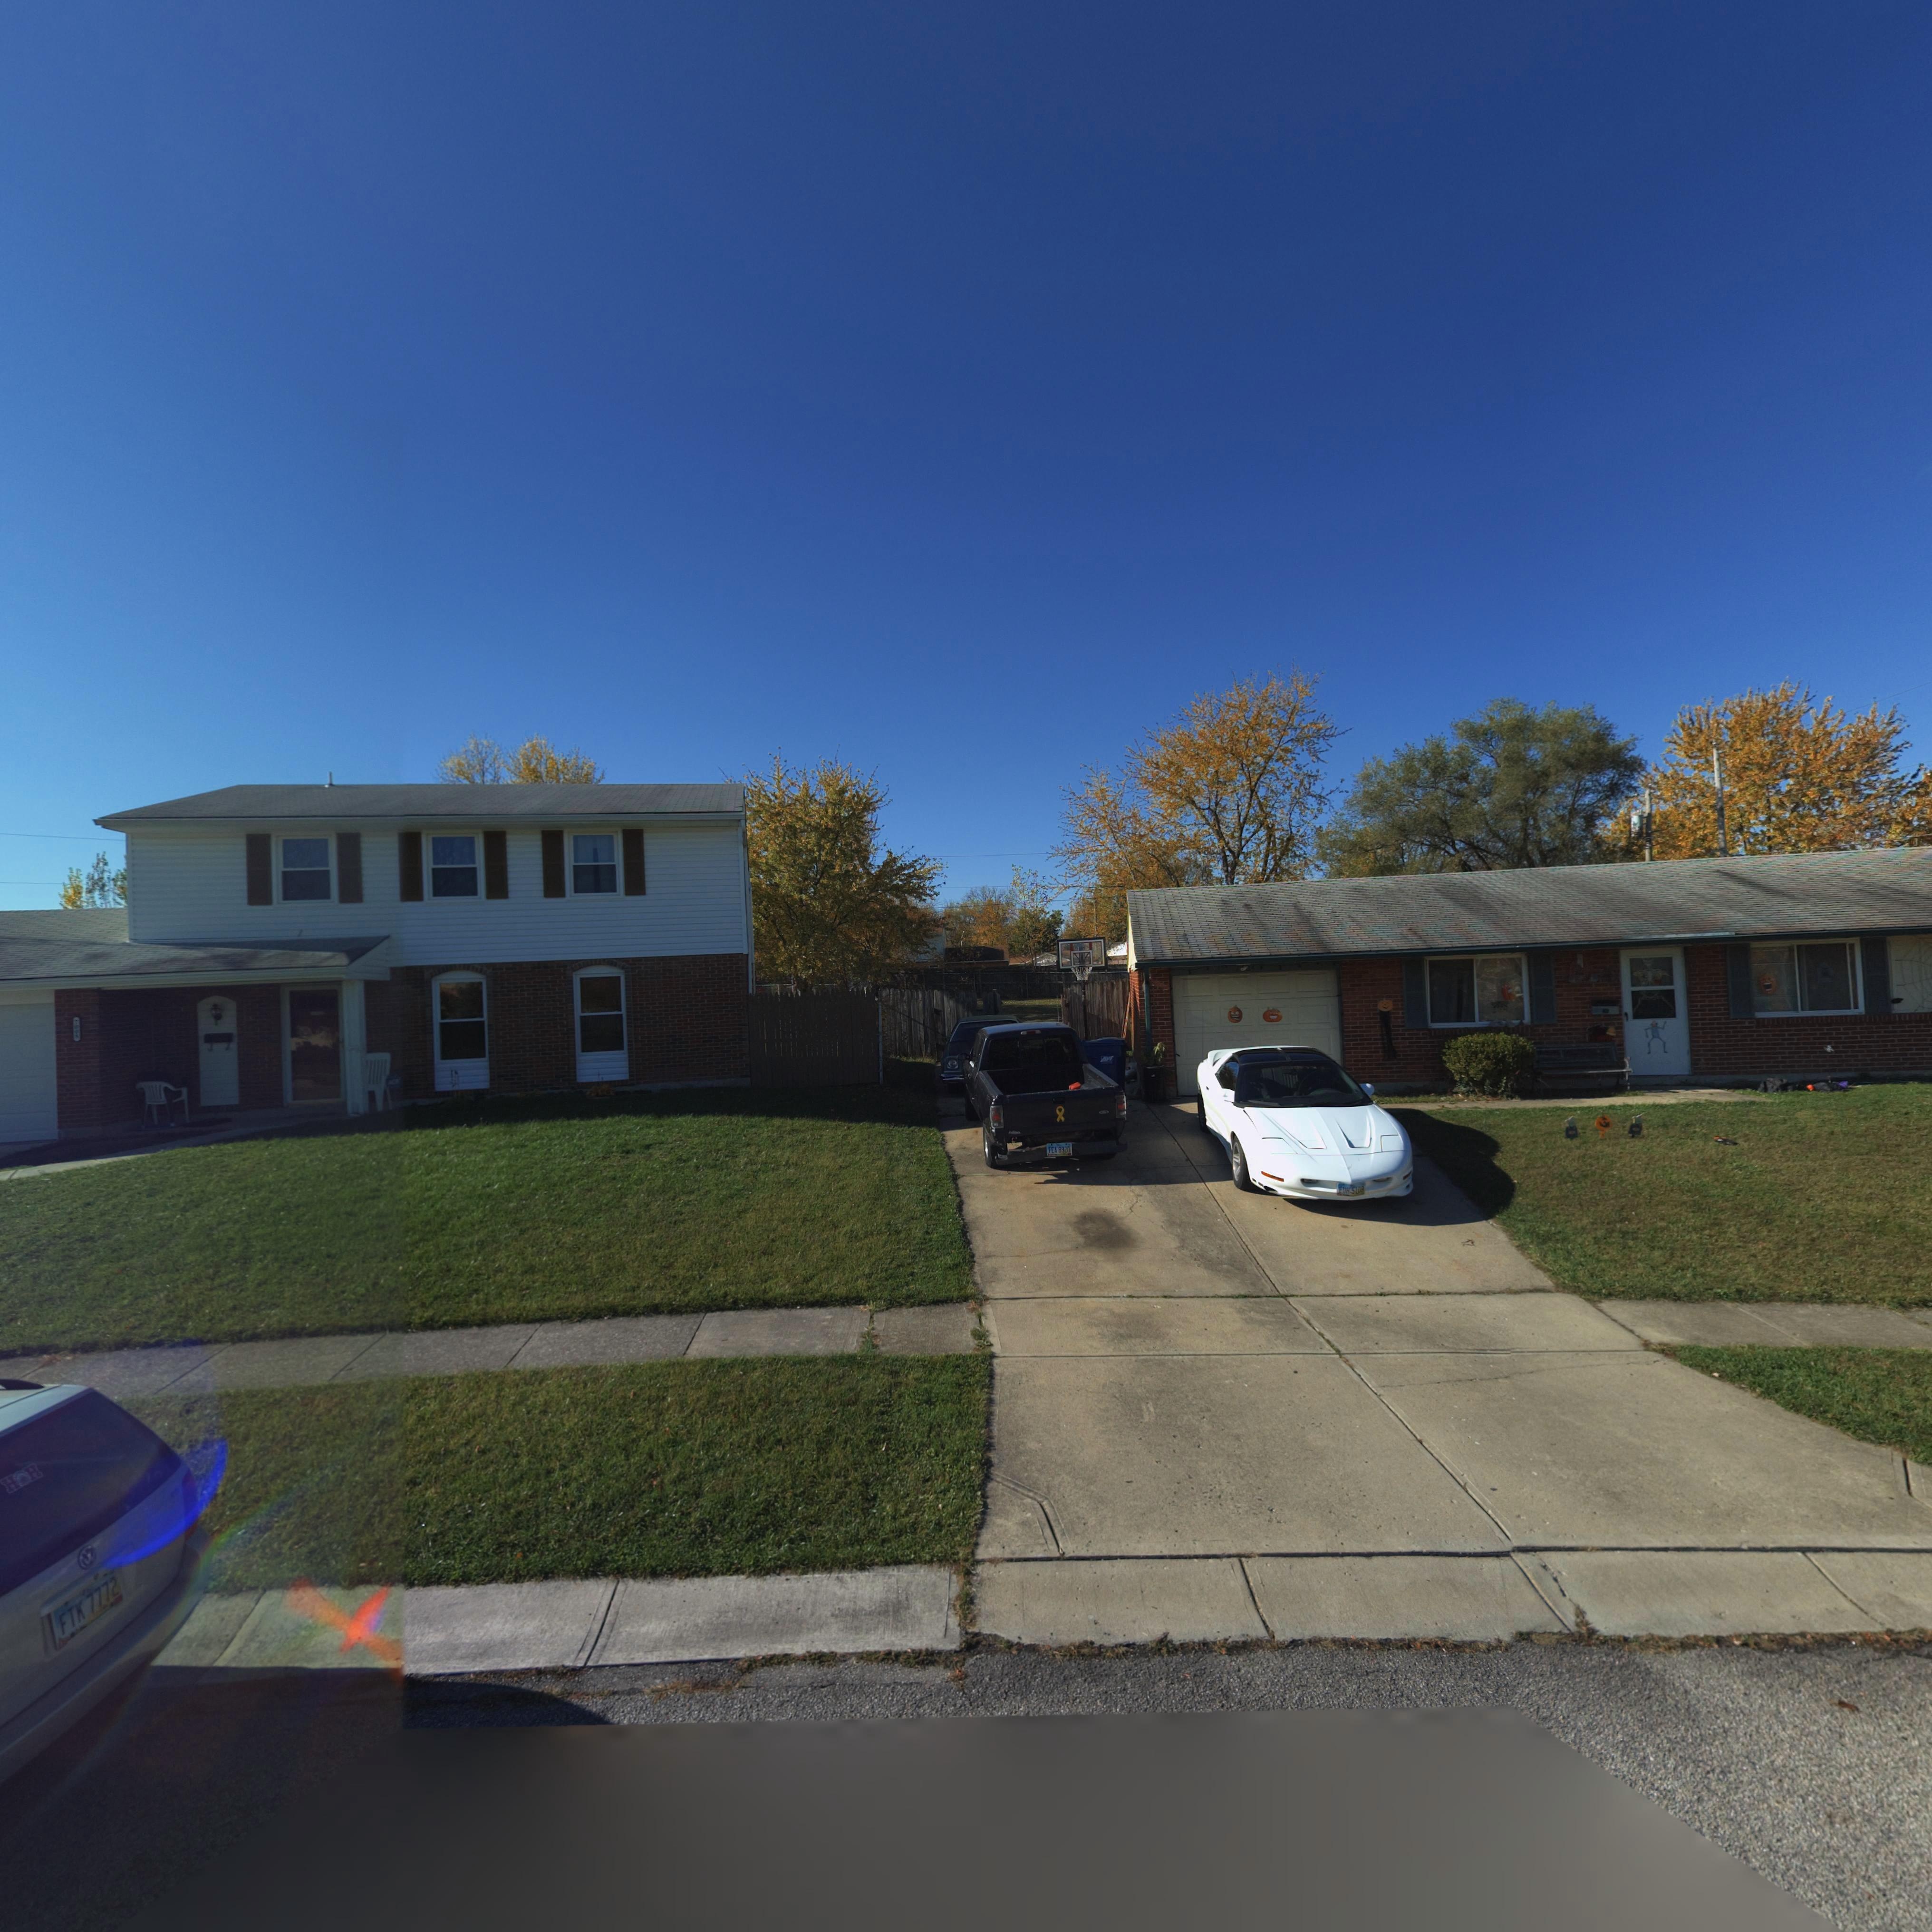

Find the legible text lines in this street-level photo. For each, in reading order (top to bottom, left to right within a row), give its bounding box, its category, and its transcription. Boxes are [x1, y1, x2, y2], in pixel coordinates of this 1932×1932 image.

[1250, 964, 1256, 972] StreetNumber: 4
[73, 1019, 80, 1039] StreetNumber: 7***